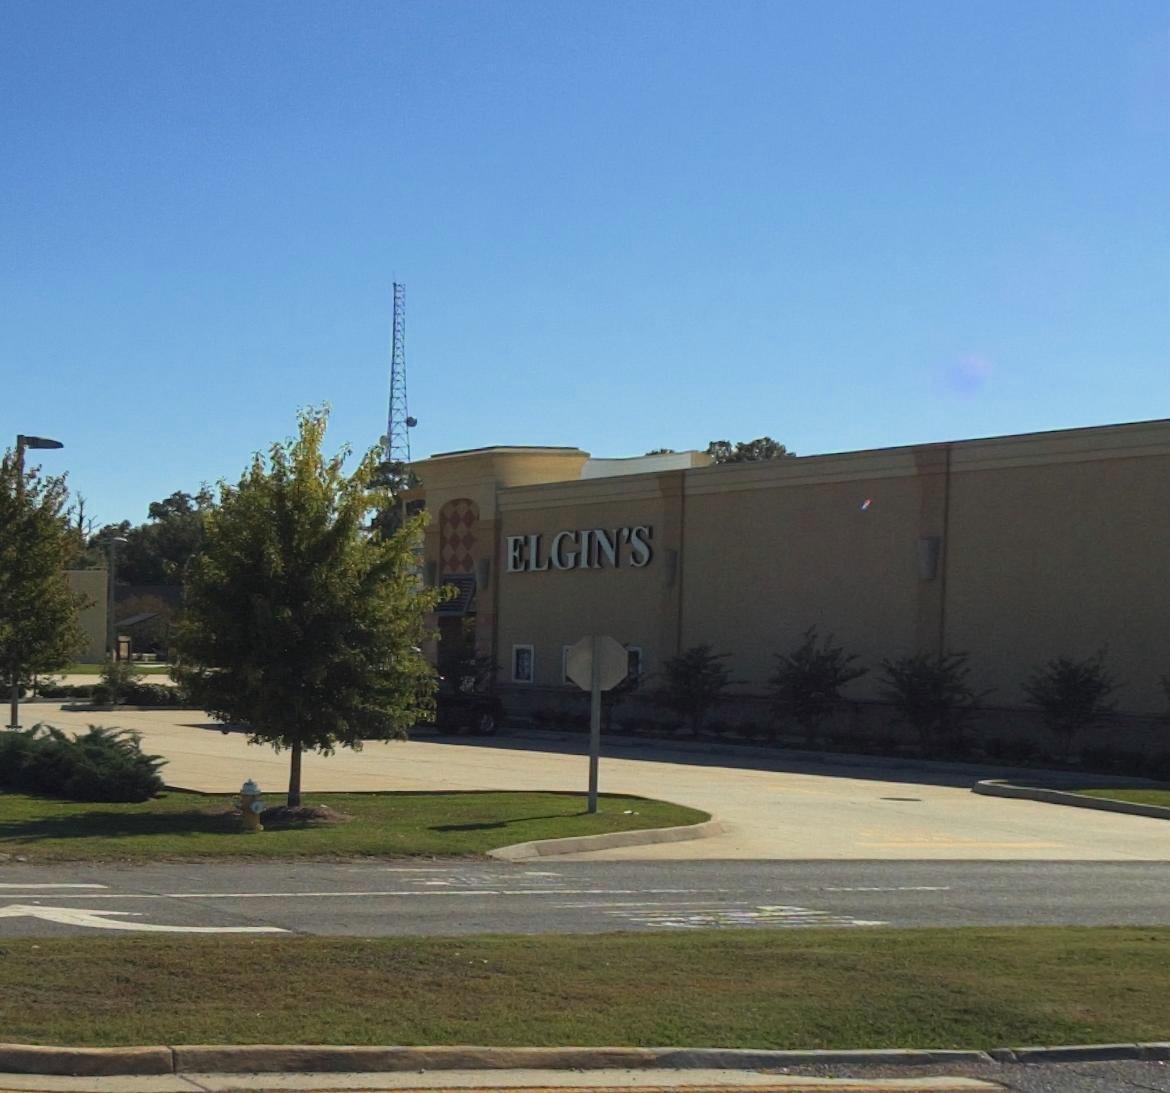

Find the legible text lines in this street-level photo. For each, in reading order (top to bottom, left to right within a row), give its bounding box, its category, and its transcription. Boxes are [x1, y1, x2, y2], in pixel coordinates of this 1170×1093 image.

[503, 521, 656, 577] BusinessName: ELGIN'S